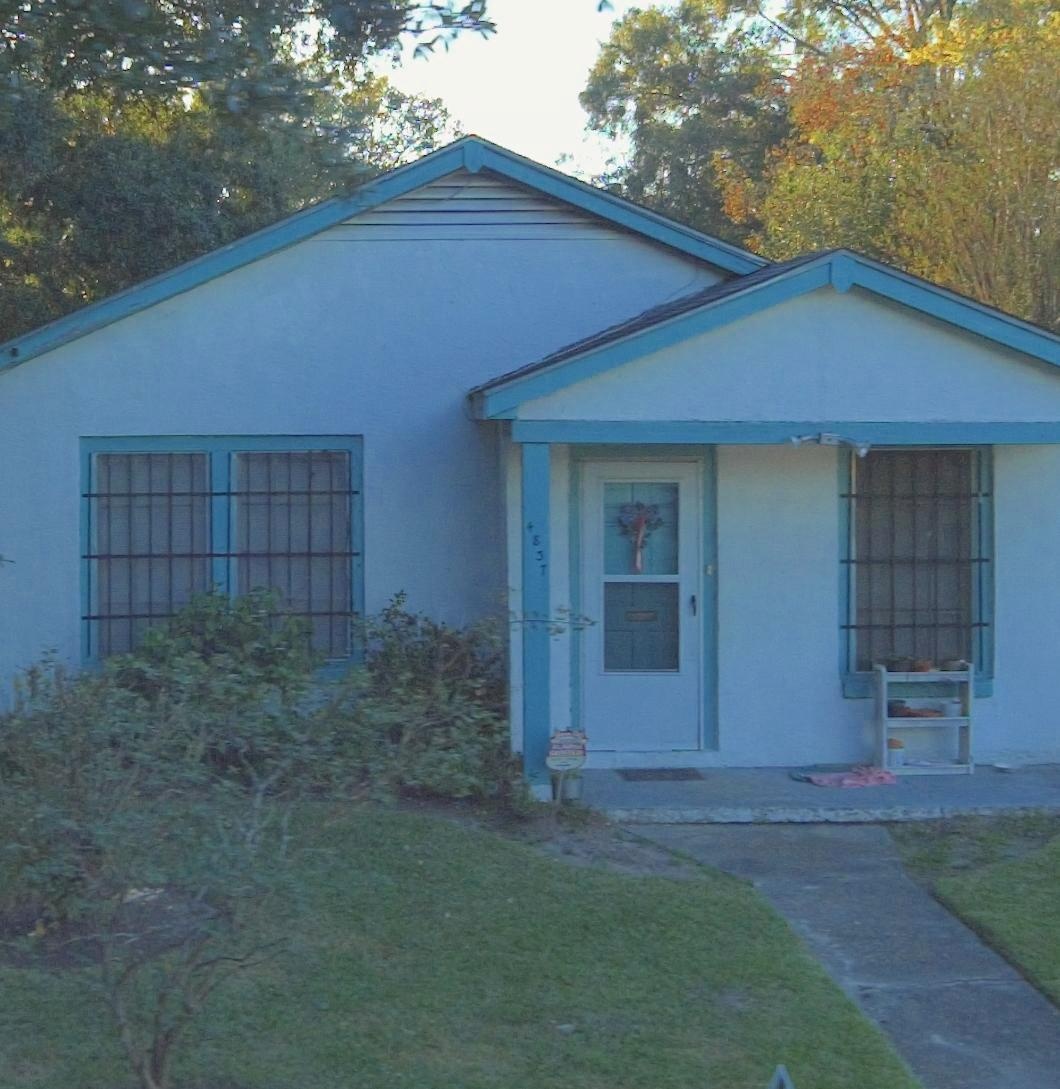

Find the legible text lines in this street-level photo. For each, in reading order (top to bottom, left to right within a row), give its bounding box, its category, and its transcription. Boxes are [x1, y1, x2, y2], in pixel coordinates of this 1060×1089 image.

[523, 519, 550, 579] StreetNumber: 4837